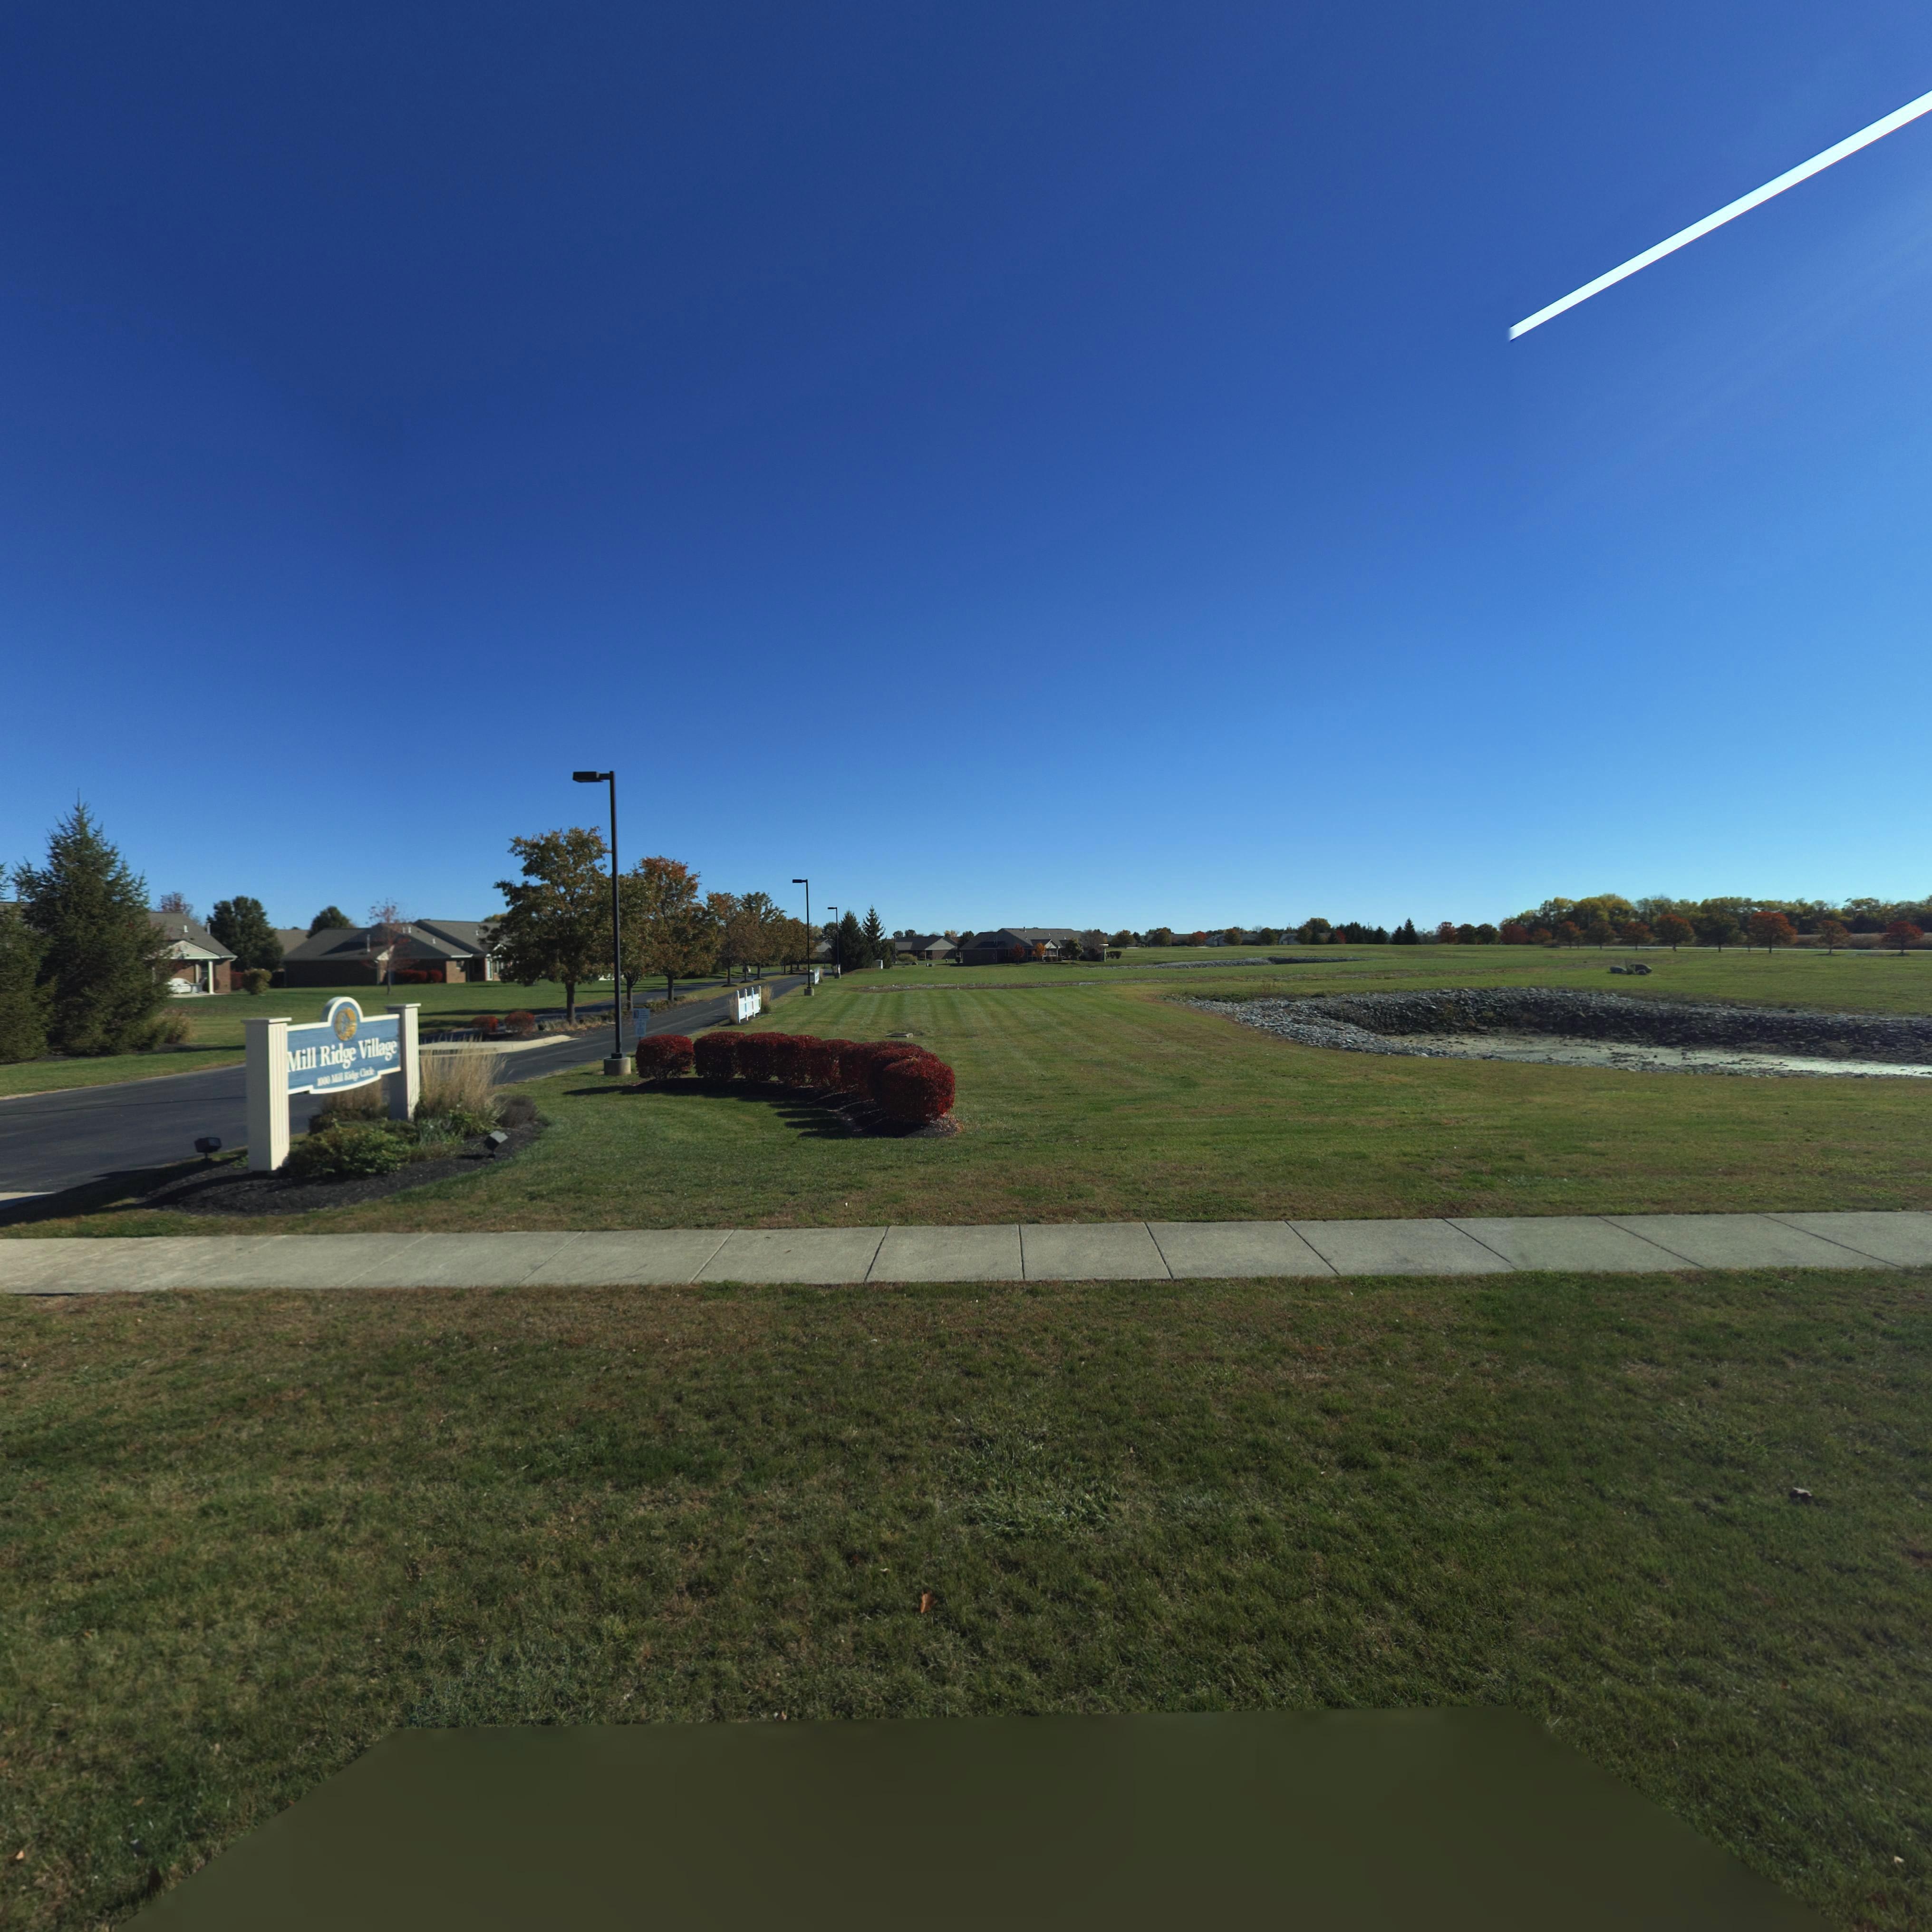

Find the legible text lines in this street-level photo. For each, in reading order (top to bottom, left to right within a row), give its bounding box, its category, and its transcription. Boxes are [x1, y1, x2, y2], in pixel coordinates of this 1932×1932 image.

[286, 1036, 399, 1074] BusinessName: Mill Ridge Village
[316, 1075, 331, 1087] StreetNumber: 1000
[331, 1066, 376, 1084] None: Mill Ridge C*****